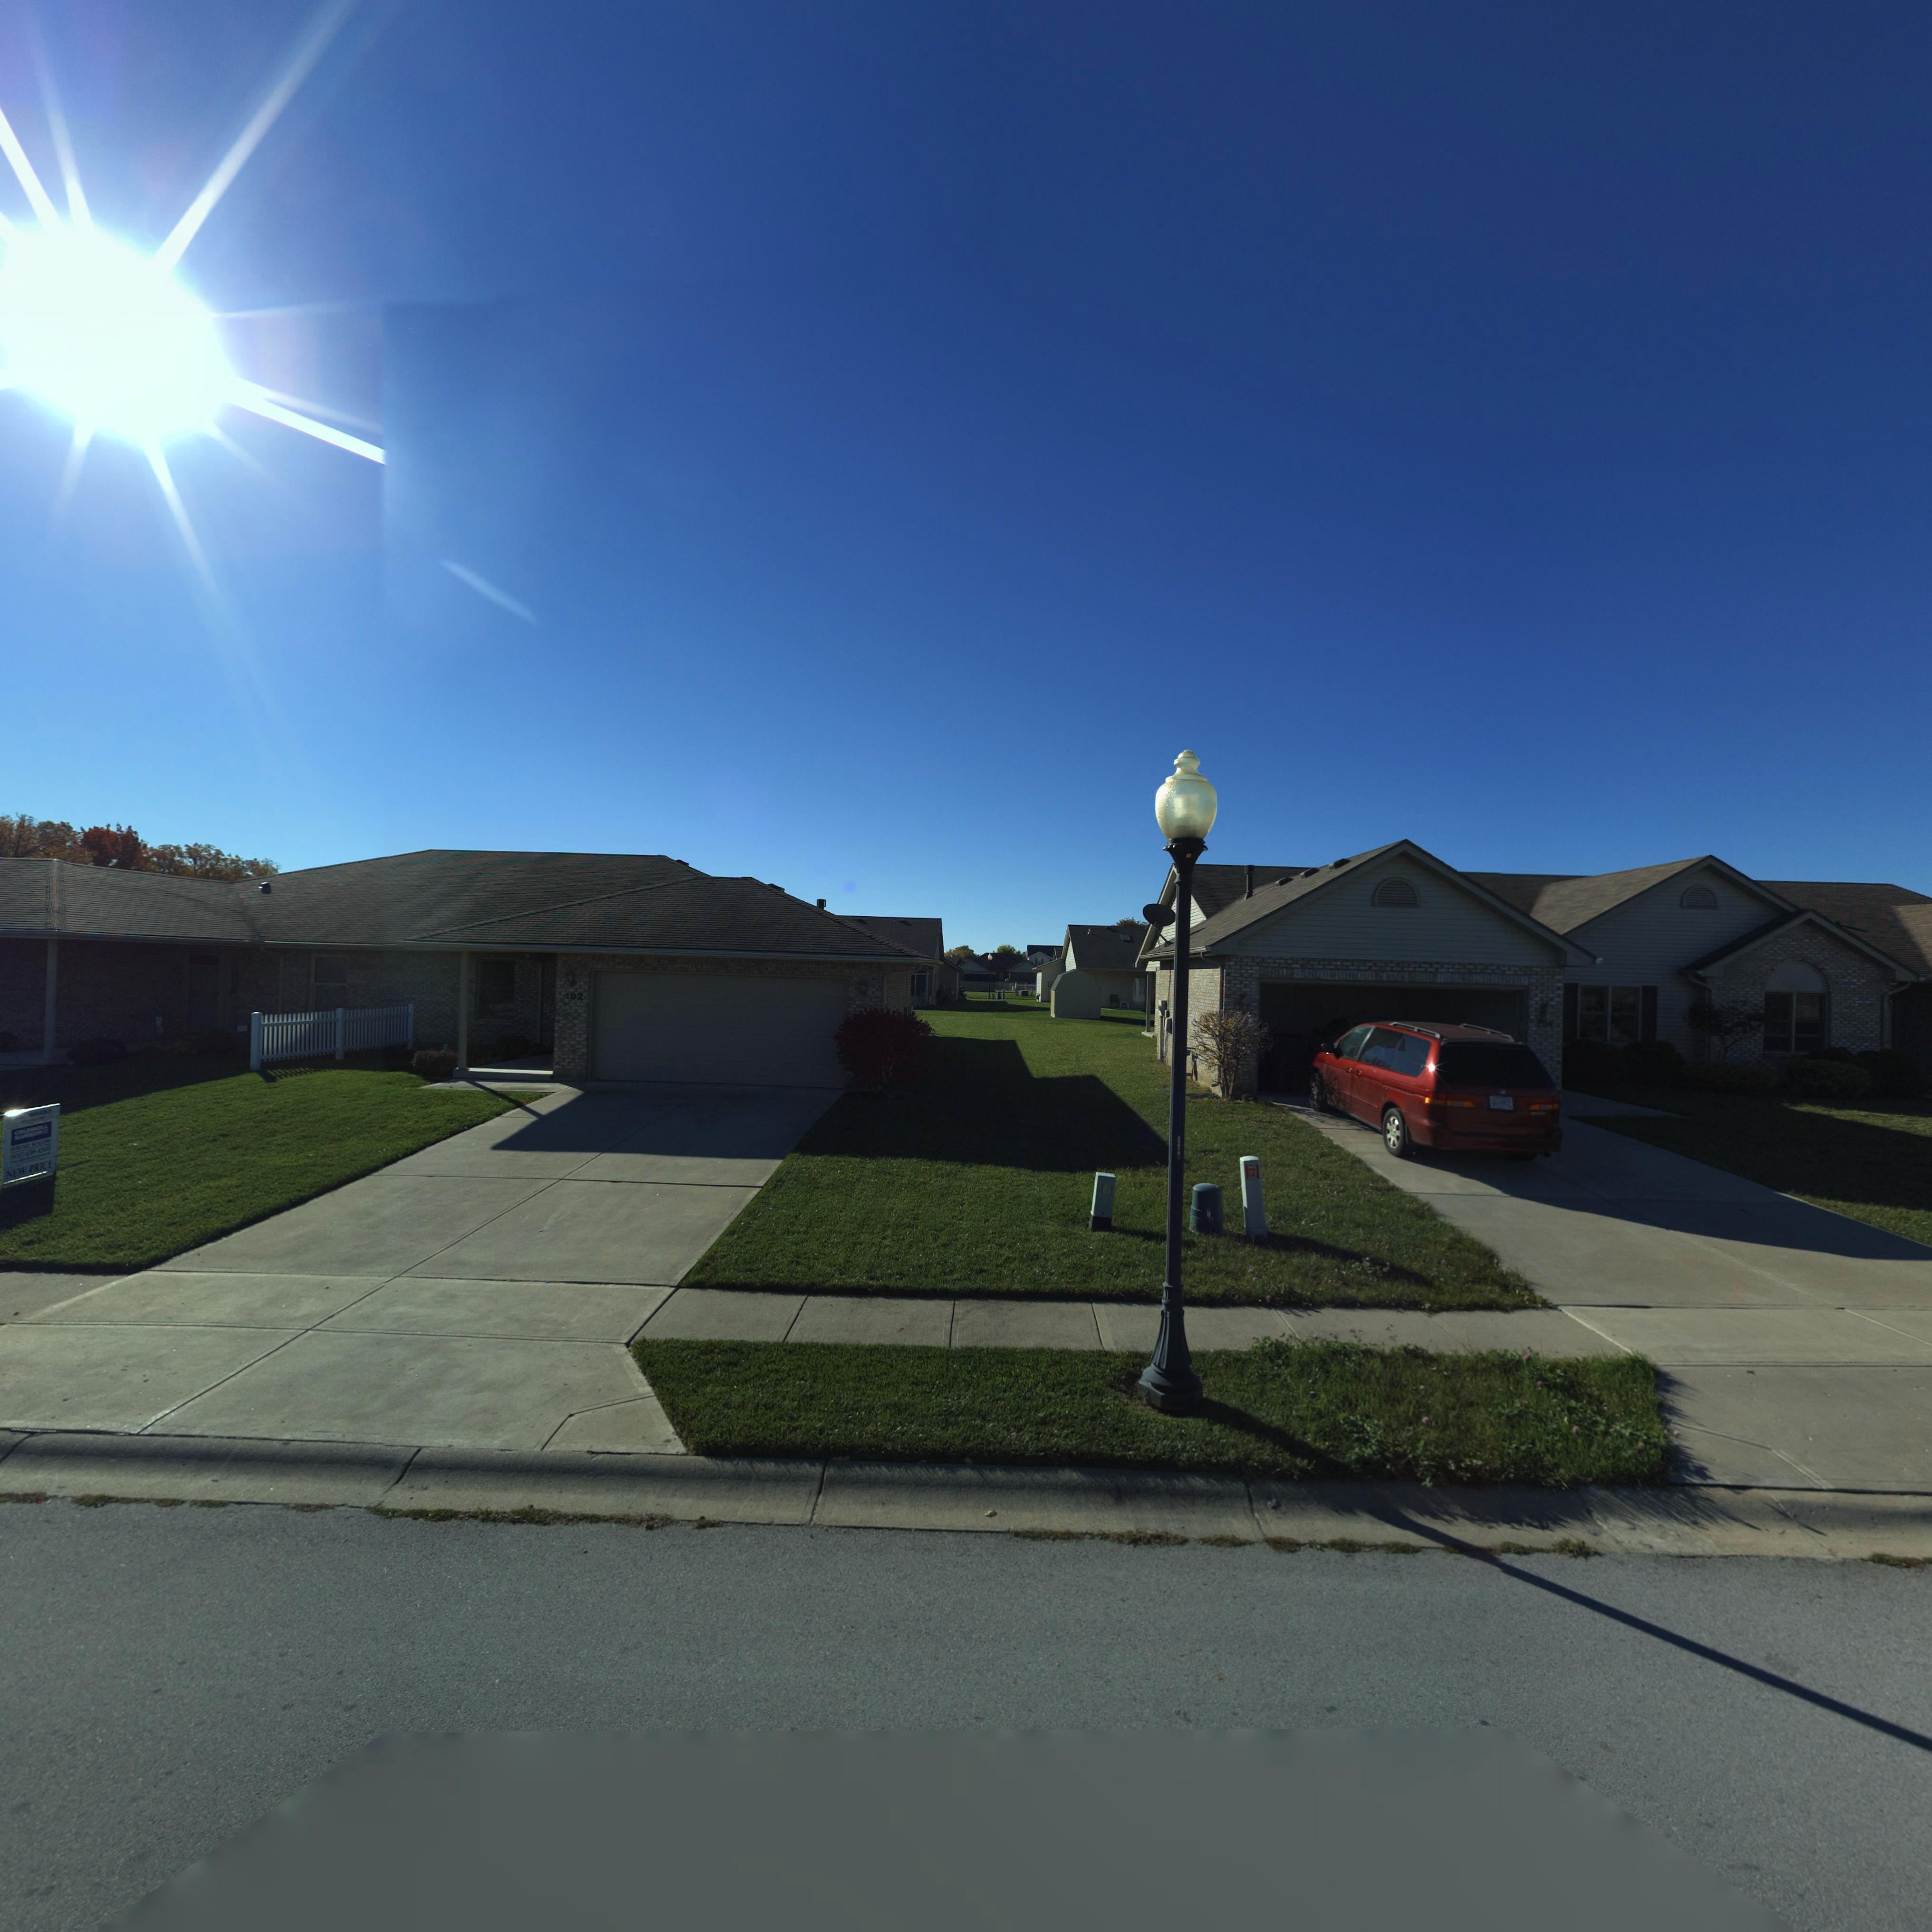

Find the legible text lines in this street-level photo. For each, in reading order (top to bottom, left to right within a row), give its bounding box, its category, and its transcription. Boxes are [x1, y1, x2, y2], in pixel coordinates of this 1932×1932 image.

[564, 991, 584, 1001] StreetNumber: 102